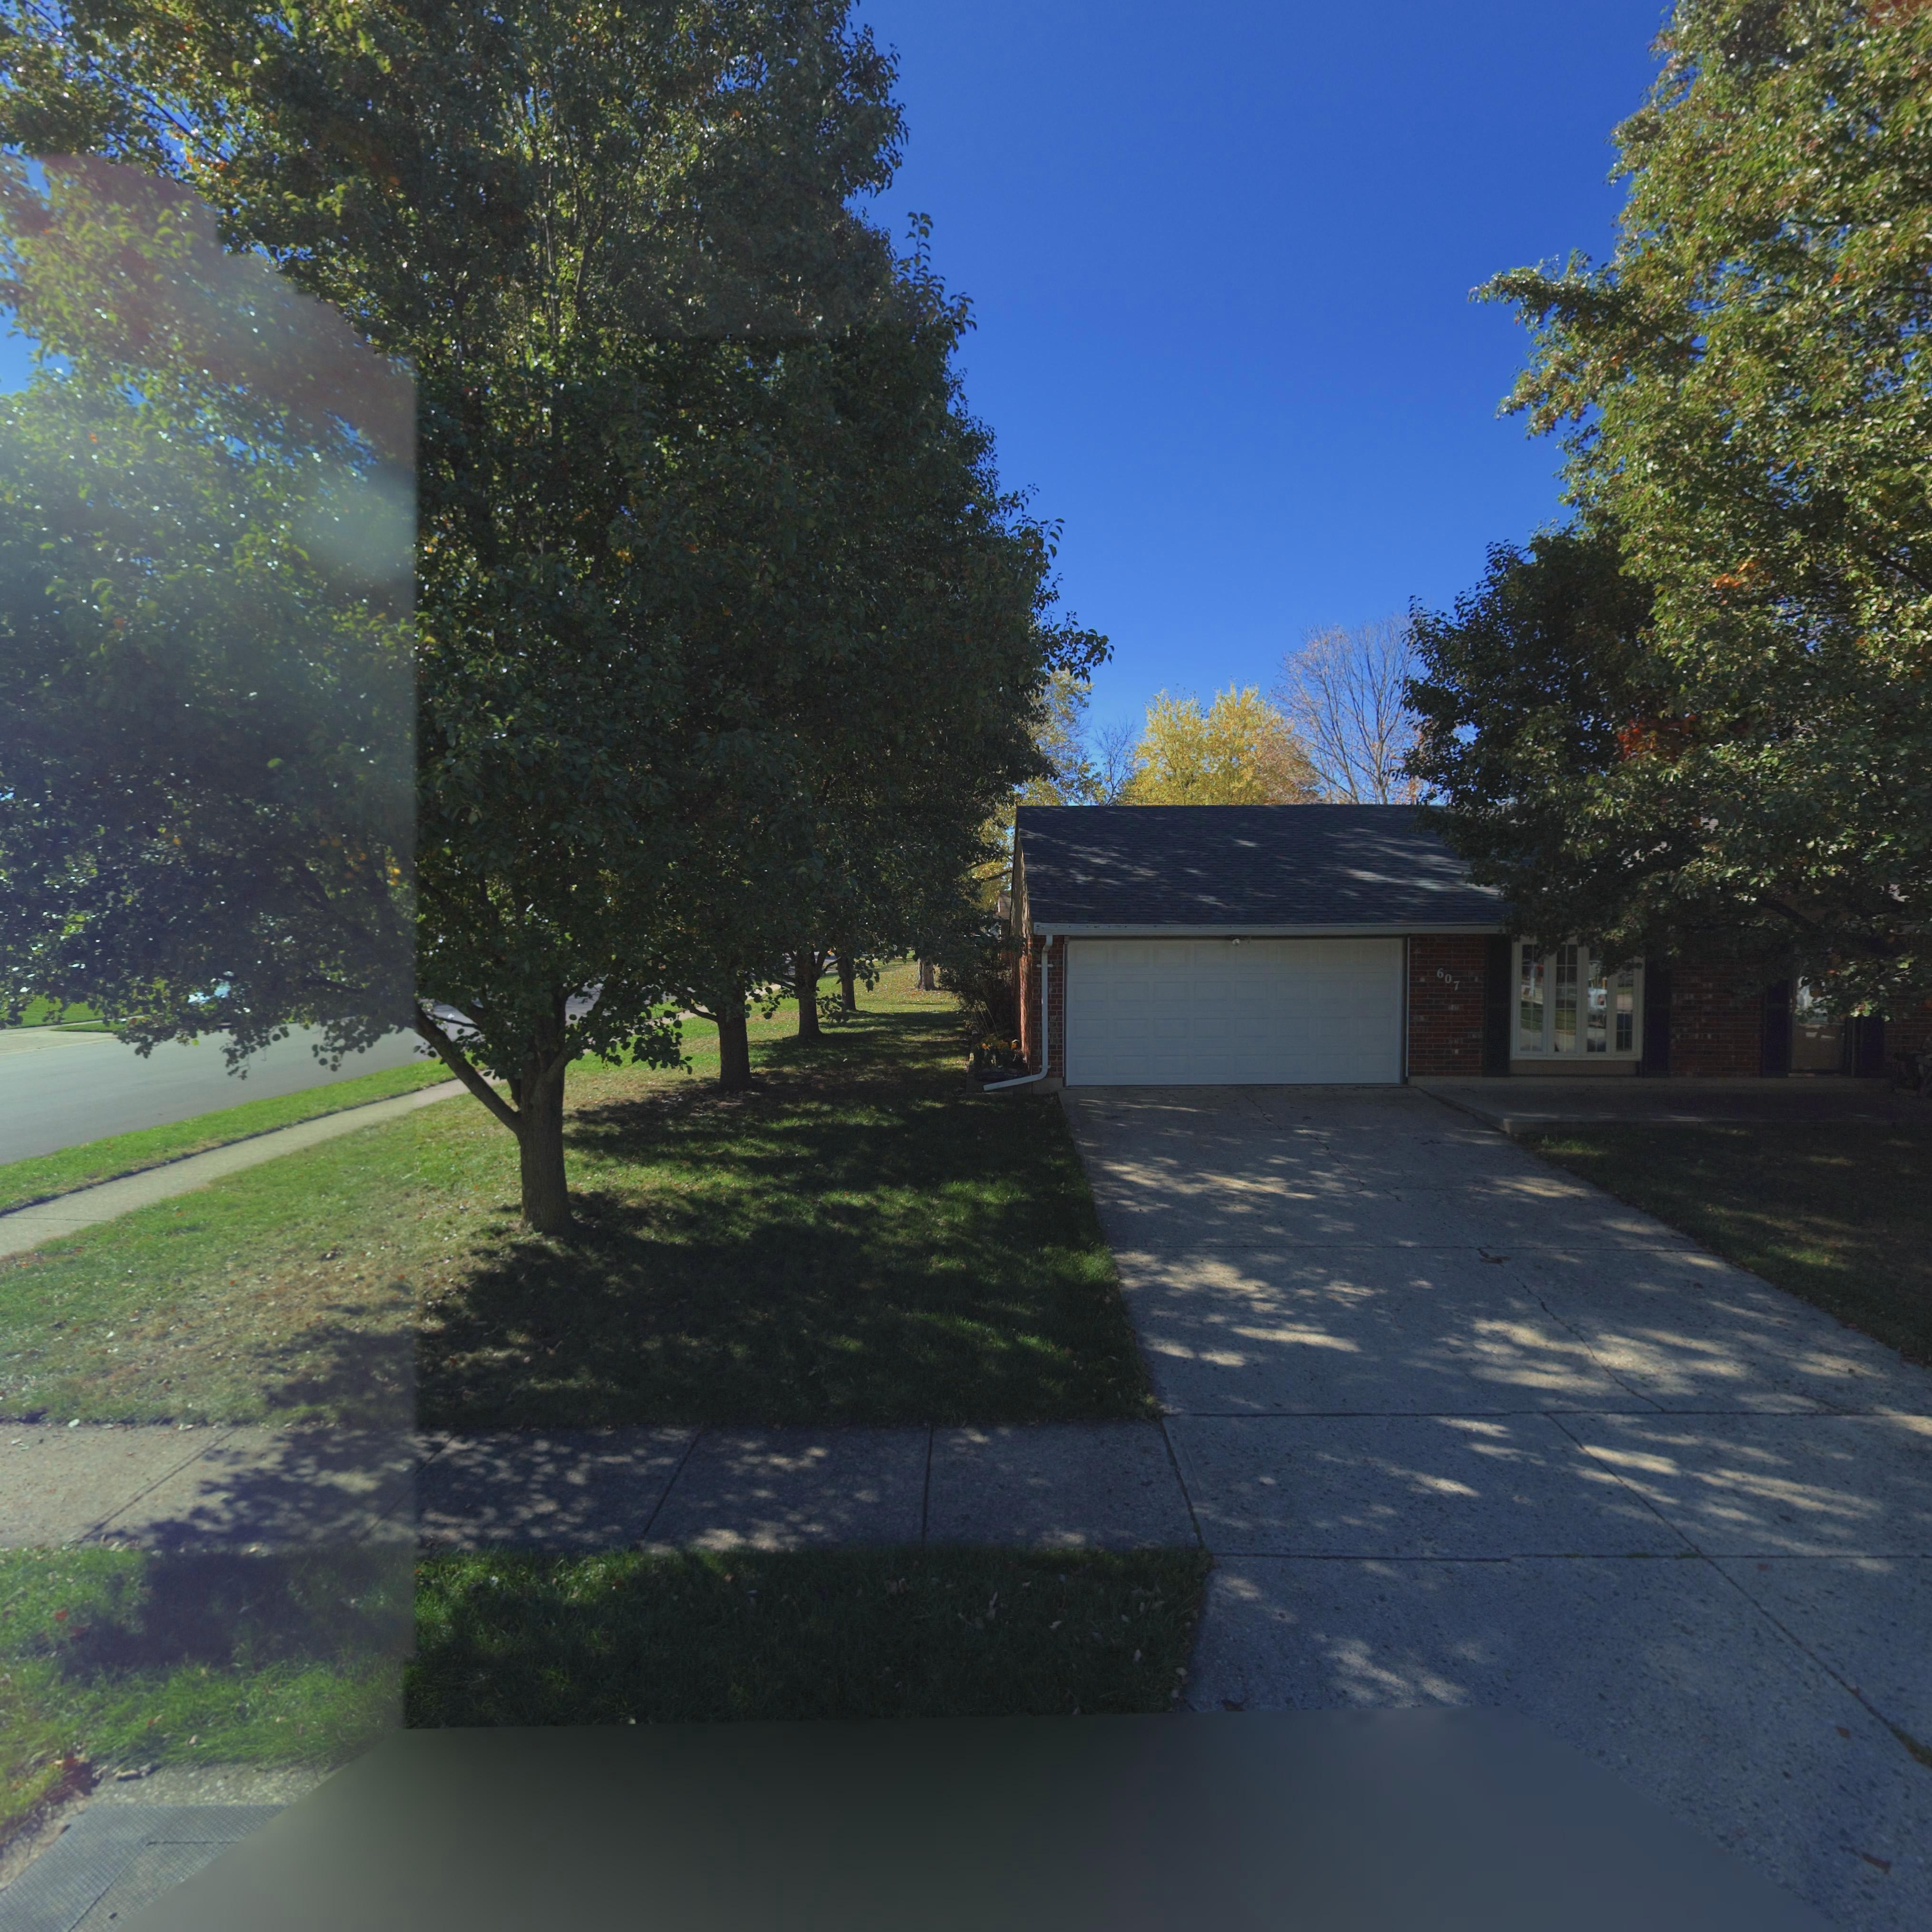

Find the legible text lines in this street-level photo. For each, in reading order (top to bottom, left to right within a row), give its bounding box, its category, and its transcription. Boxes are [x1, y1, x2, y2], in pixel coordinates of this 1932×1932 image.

[1436, 967, 1461, 992] StreetNumber: 607